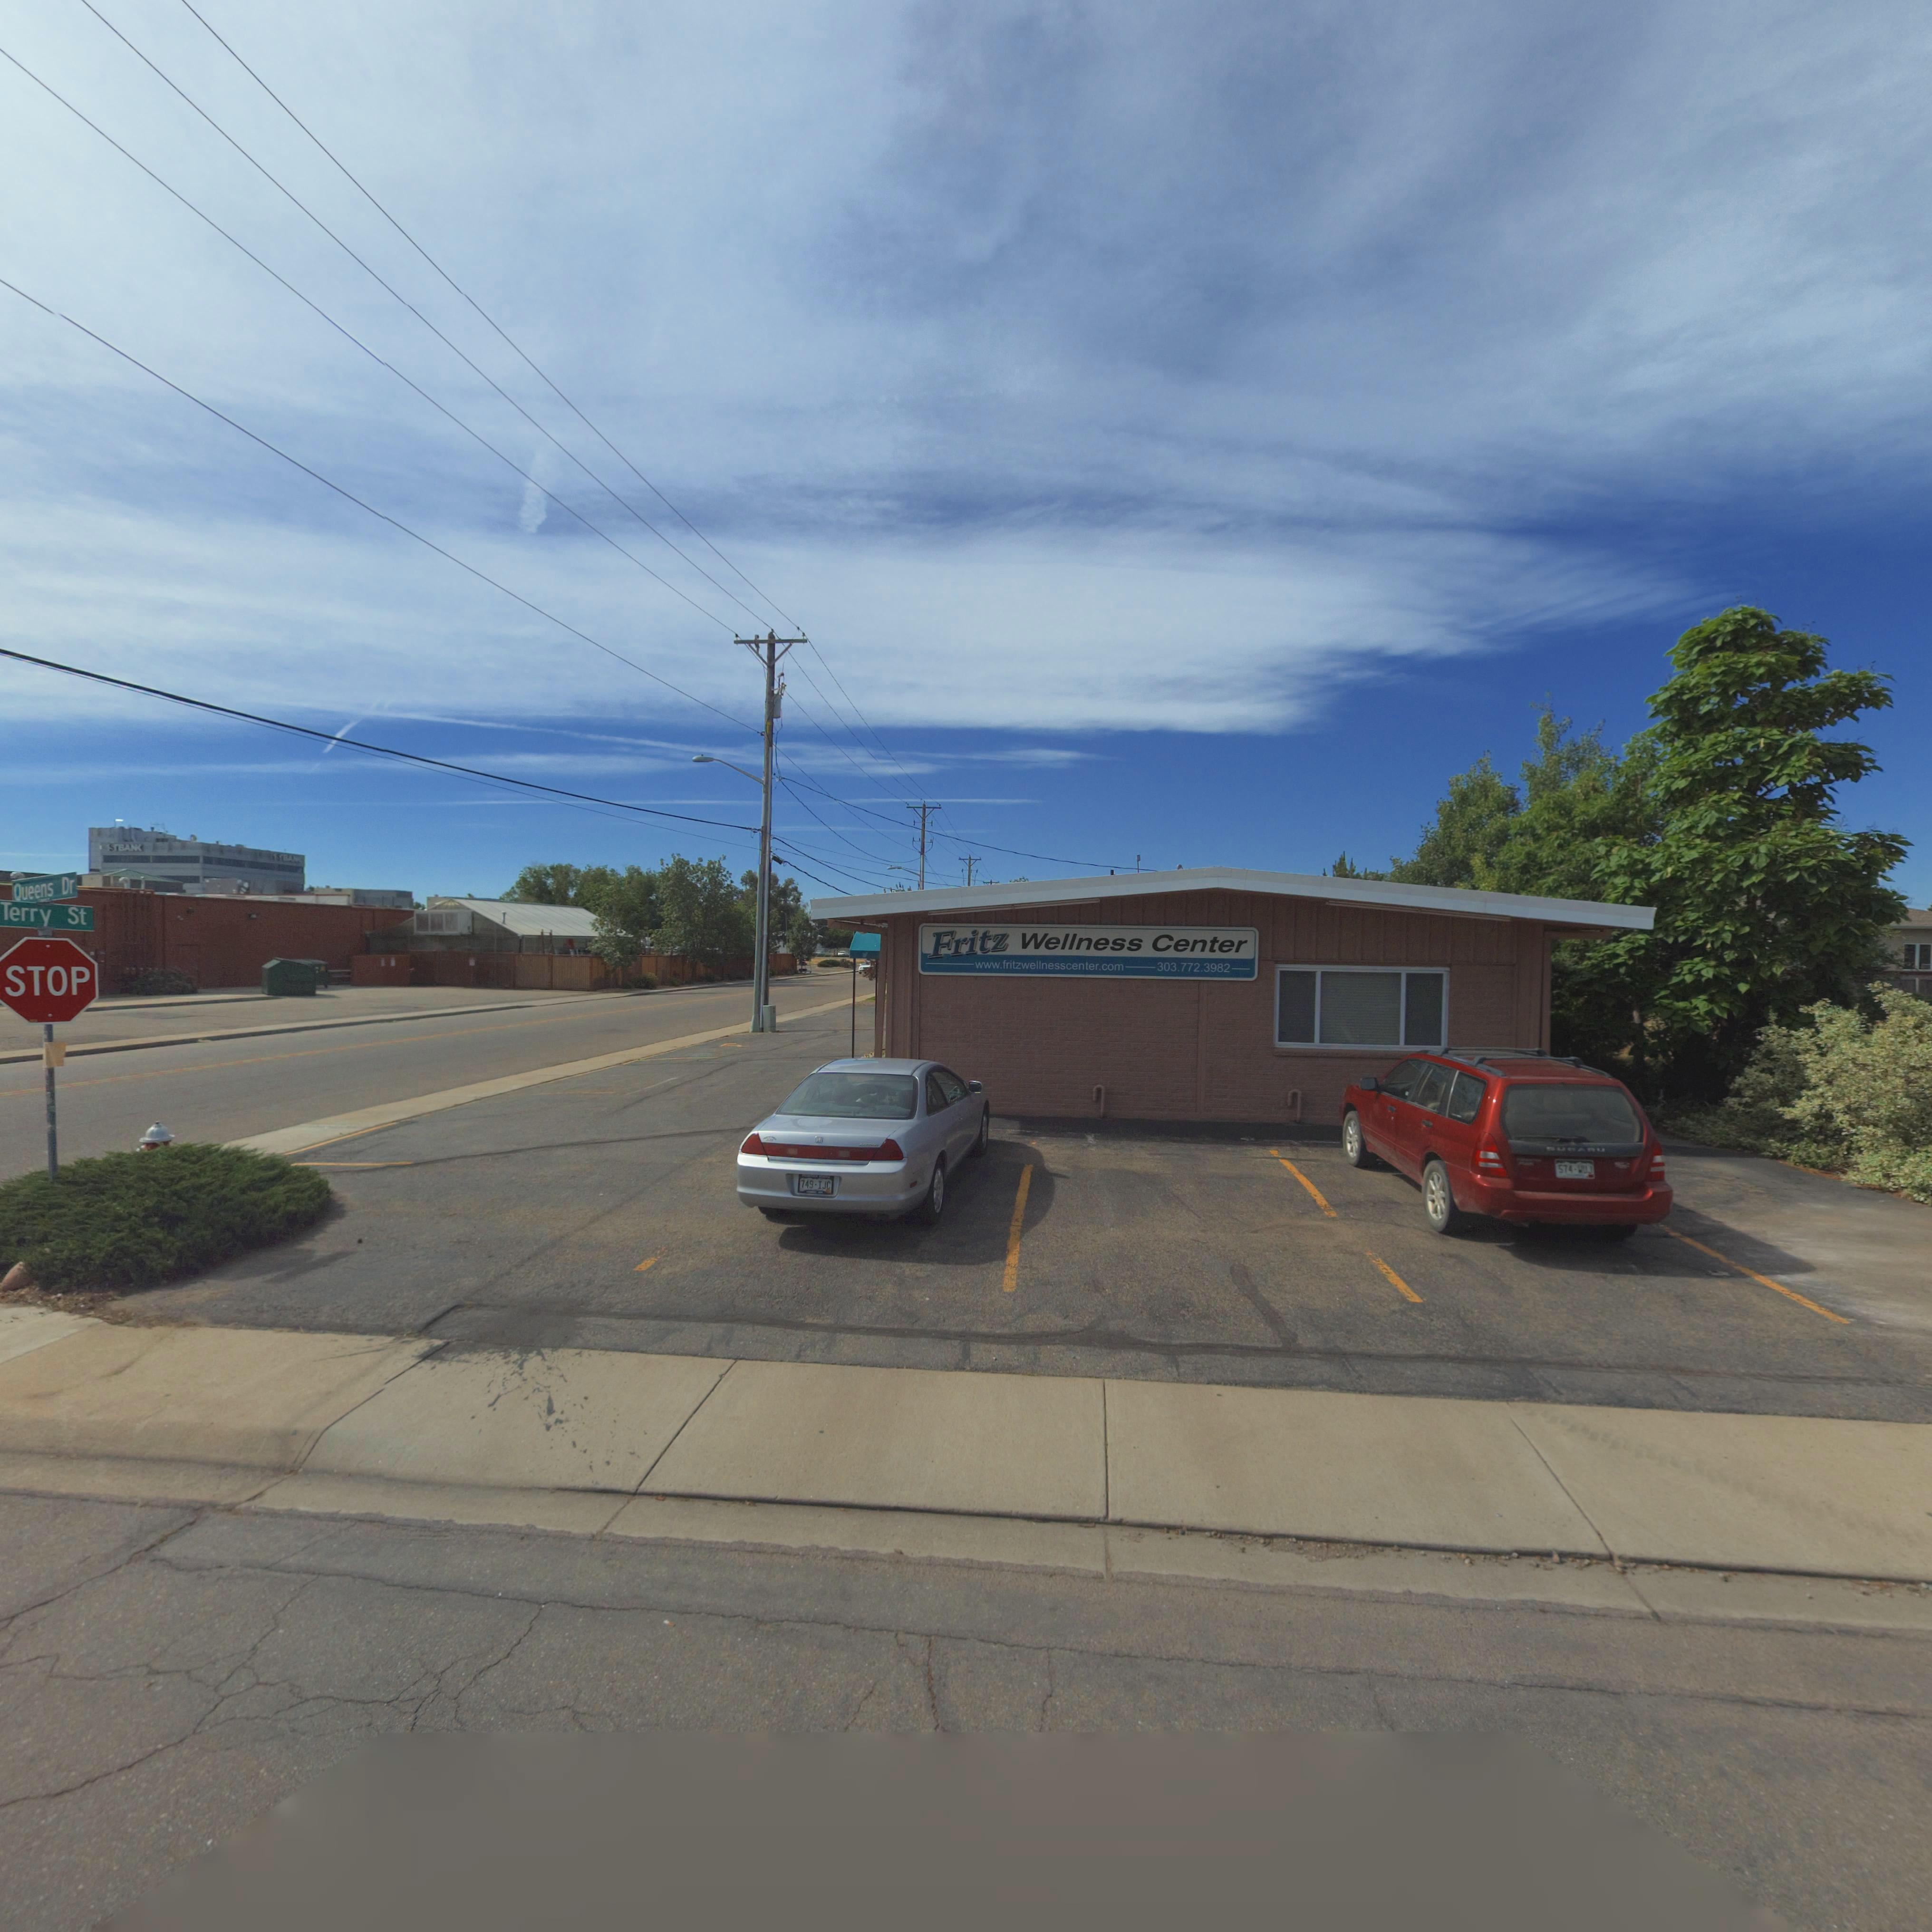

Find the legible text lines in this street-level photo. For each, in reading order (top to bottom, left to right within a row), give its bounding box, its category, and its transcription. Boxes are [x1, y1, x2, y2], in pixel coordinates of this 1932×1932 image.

[105, 843, 143, 852] BusinessName: 1S*BAN*
[272, 853, 302, 863] BusinessName: 1S*BAN*
[12, 875, 76, 902] StreetName: Queens Dr
[0, 901, 88, 928] StreetName: Terry St
[926, 929, 1009, 958] BusinessName: Fritz
[1020, 931, 1249, 954] BusinessName: Wellness Center